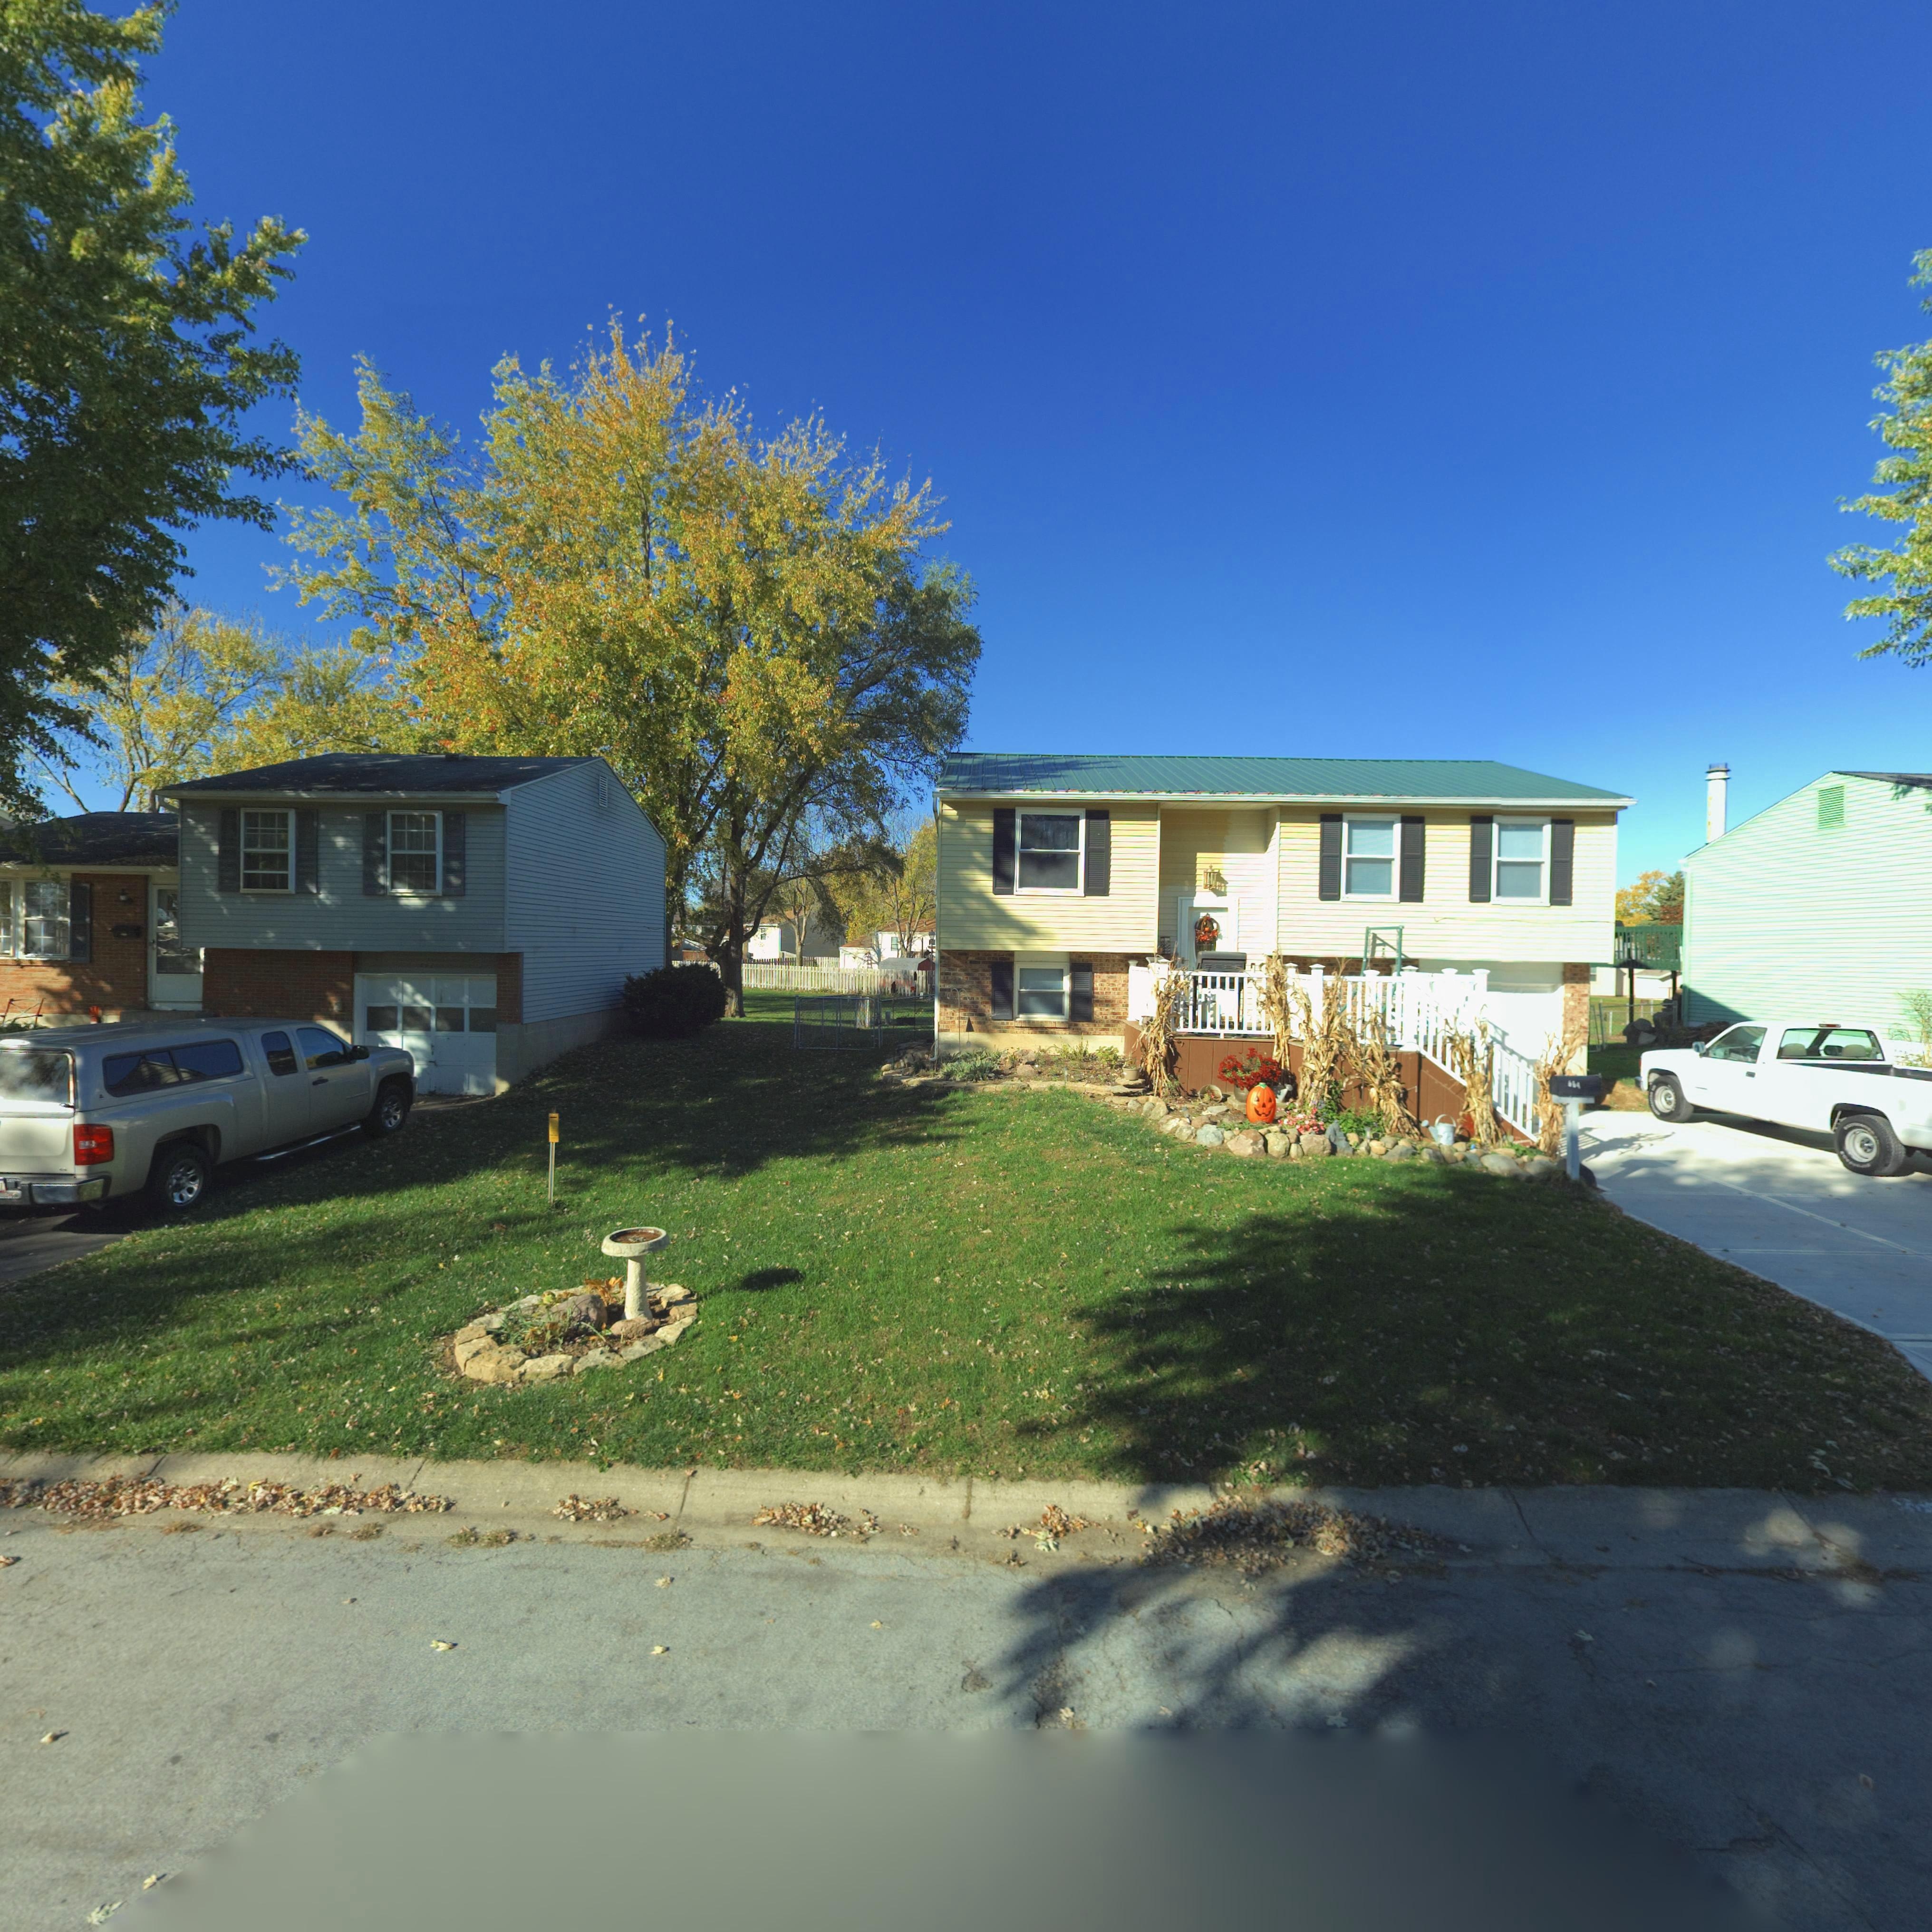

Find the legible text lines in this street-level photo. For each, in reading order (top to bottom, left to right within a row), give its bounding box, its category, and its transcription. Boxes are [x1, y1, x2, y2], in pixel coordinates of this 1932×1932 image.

[418, 962, 435, 968] StreetNumber: 662
[1567, 1079, 1582, 1090] StreetNumber: 664